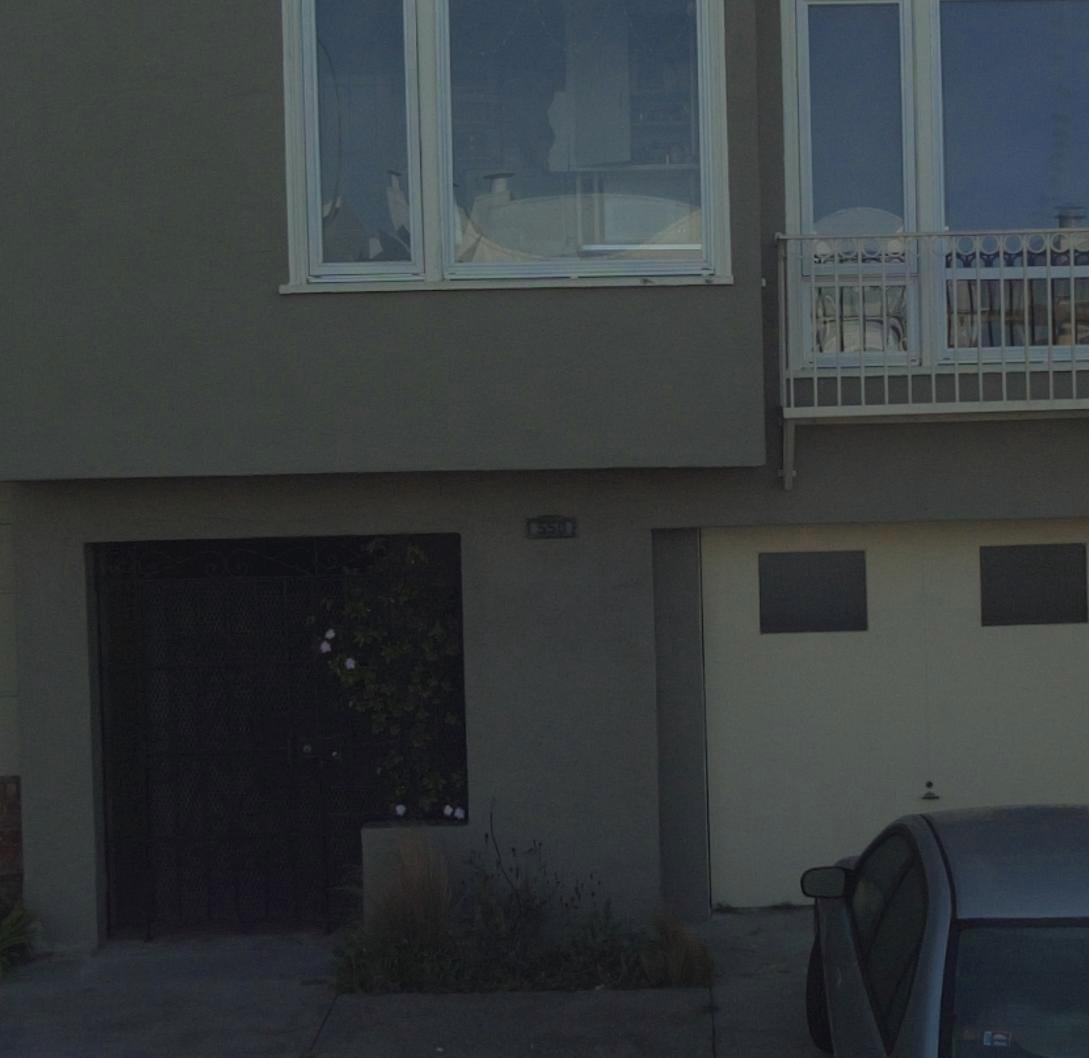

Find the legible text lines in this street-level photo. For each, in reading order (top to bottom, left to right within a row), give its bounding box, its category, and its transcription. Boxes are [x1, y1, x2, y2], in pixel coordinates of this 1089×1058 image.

[536, 520, 567, 536] StreetNumber: 550